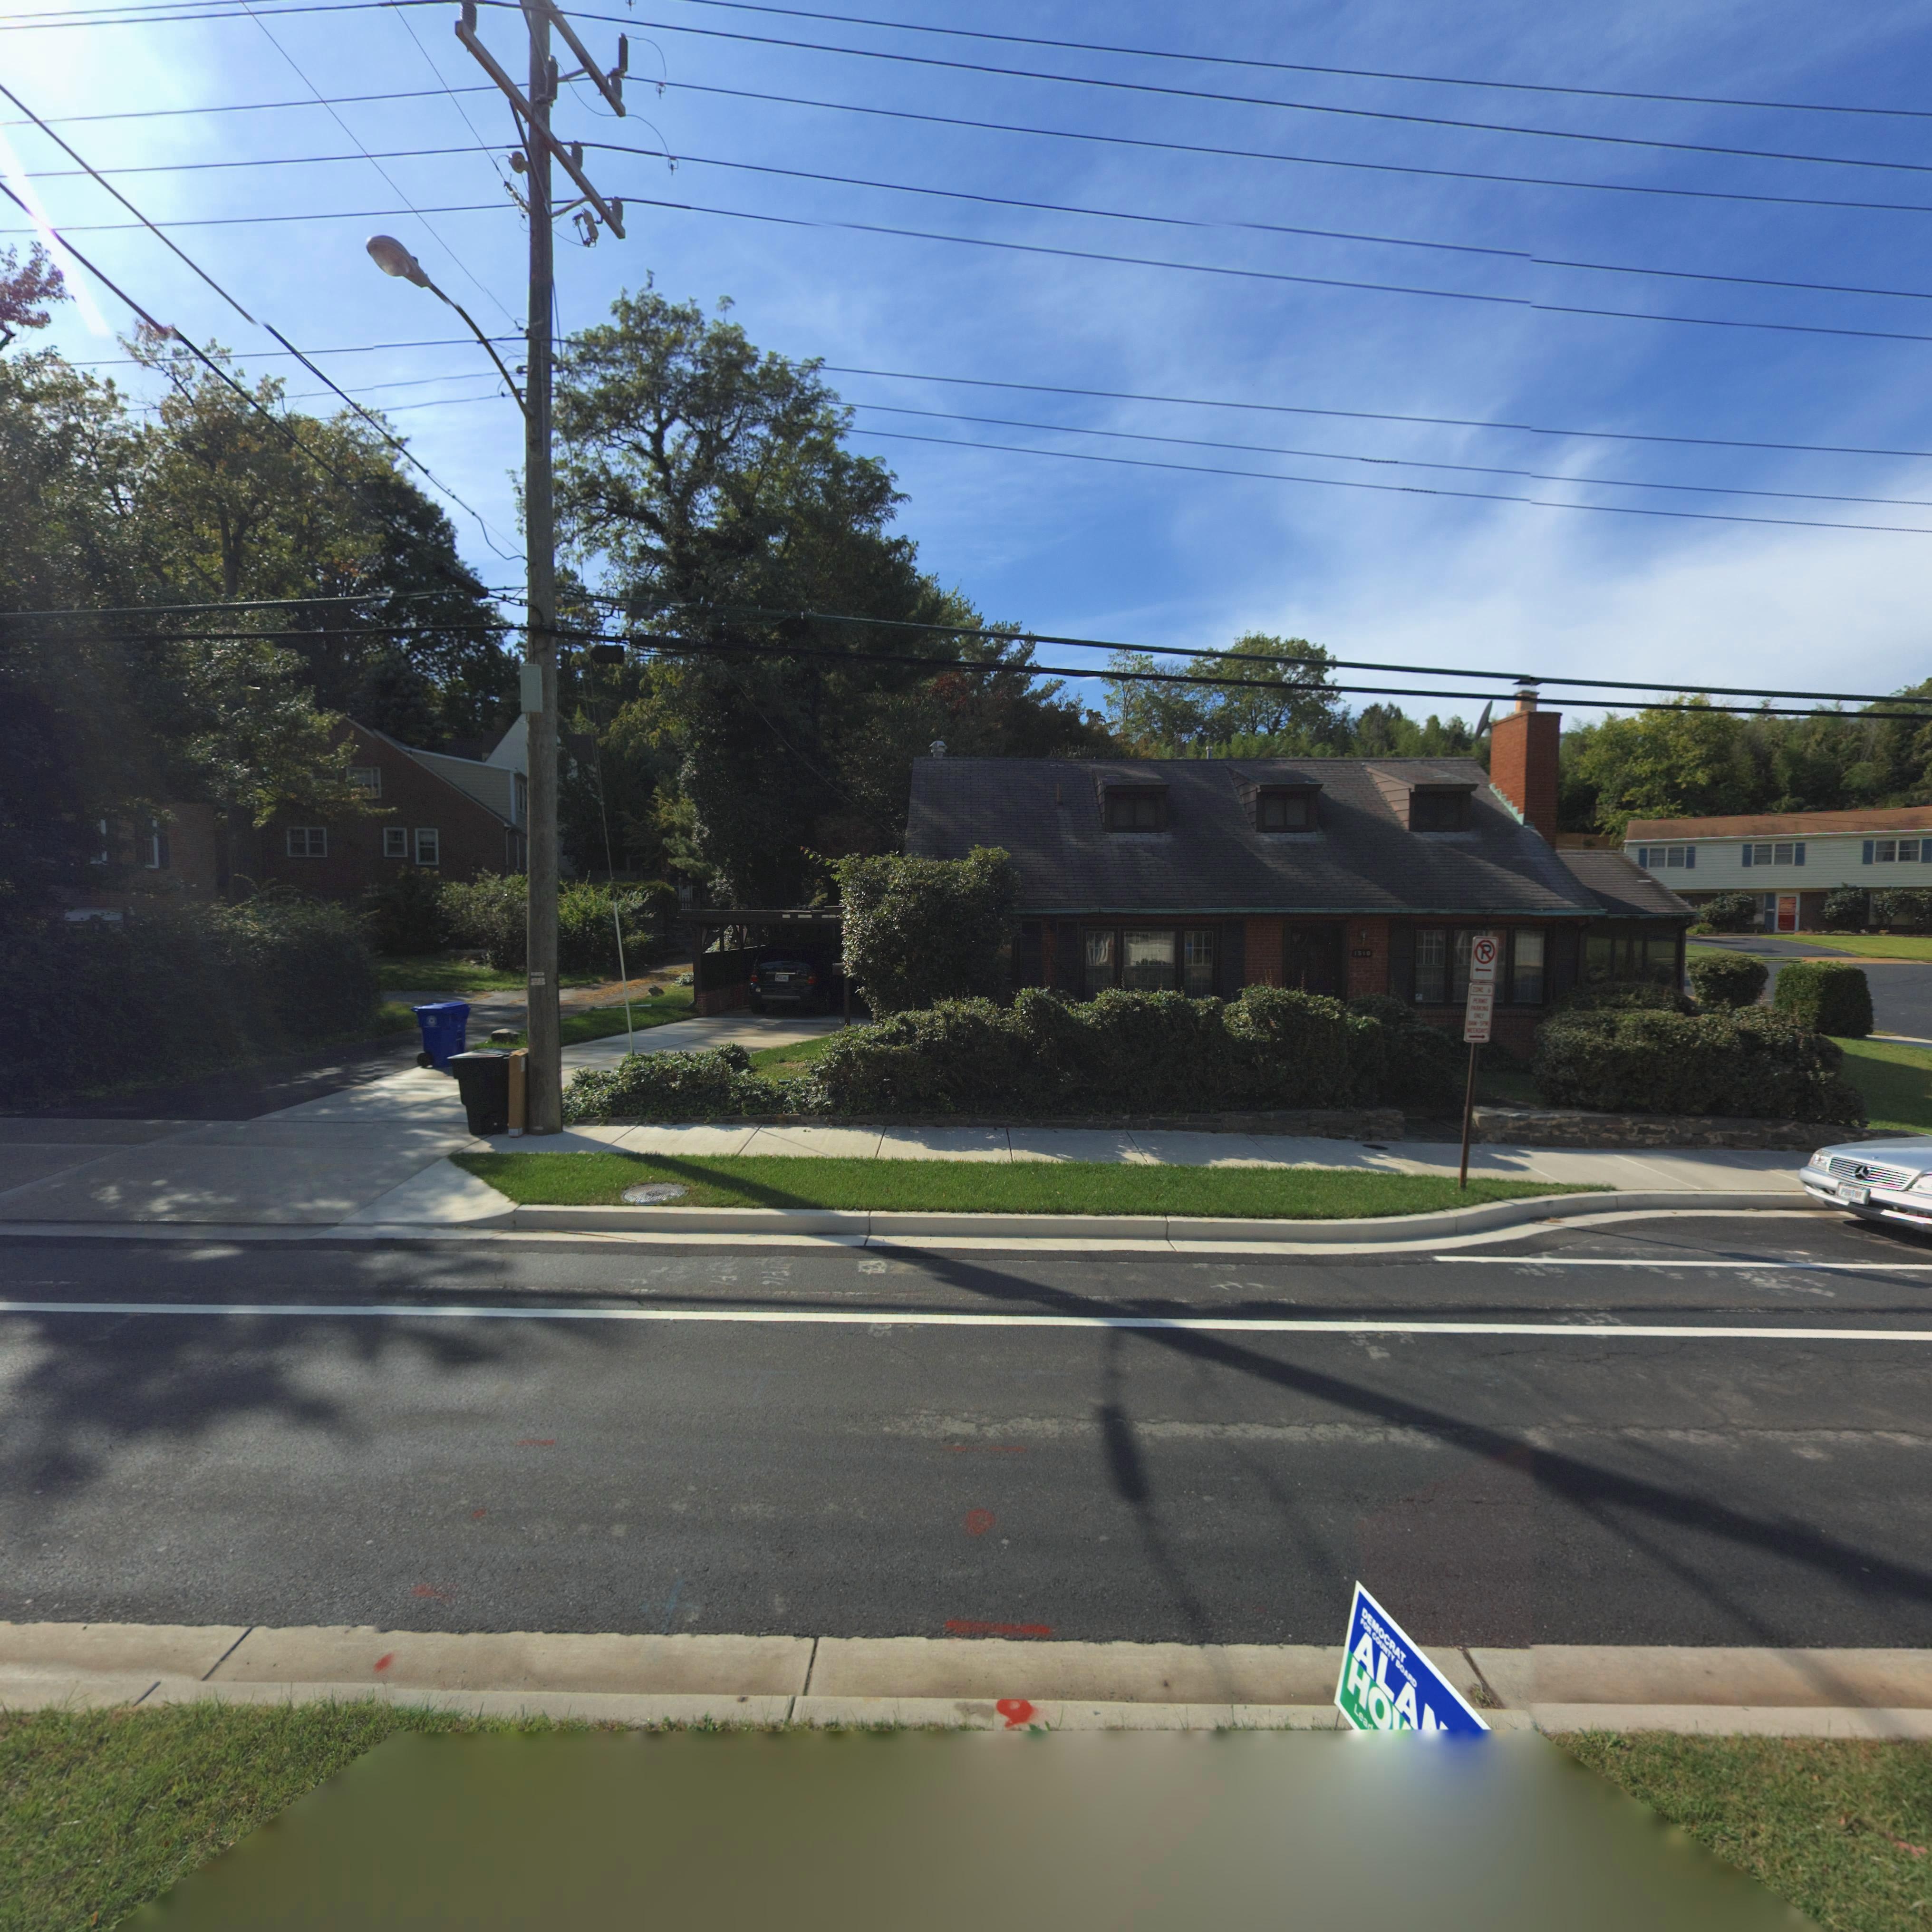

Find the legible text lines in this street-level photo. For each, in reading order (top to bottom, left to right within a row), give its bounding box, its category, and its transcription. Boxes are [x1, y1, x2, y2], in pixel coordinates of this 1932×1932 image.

[1353, 949, 1372, 957] StreetNumber: 1510
[1351, 1700, 1369, 1729] None: Lea
[1344, 1652, 1393, 1731] None: HO
[1360, 1605, 1408, 1665] None: DEMOCRAT
[1352, 1630, 1420, 1731] None: ALA
[1358, 1616, 1418, 1689] None: FOR COUNTY BOARD